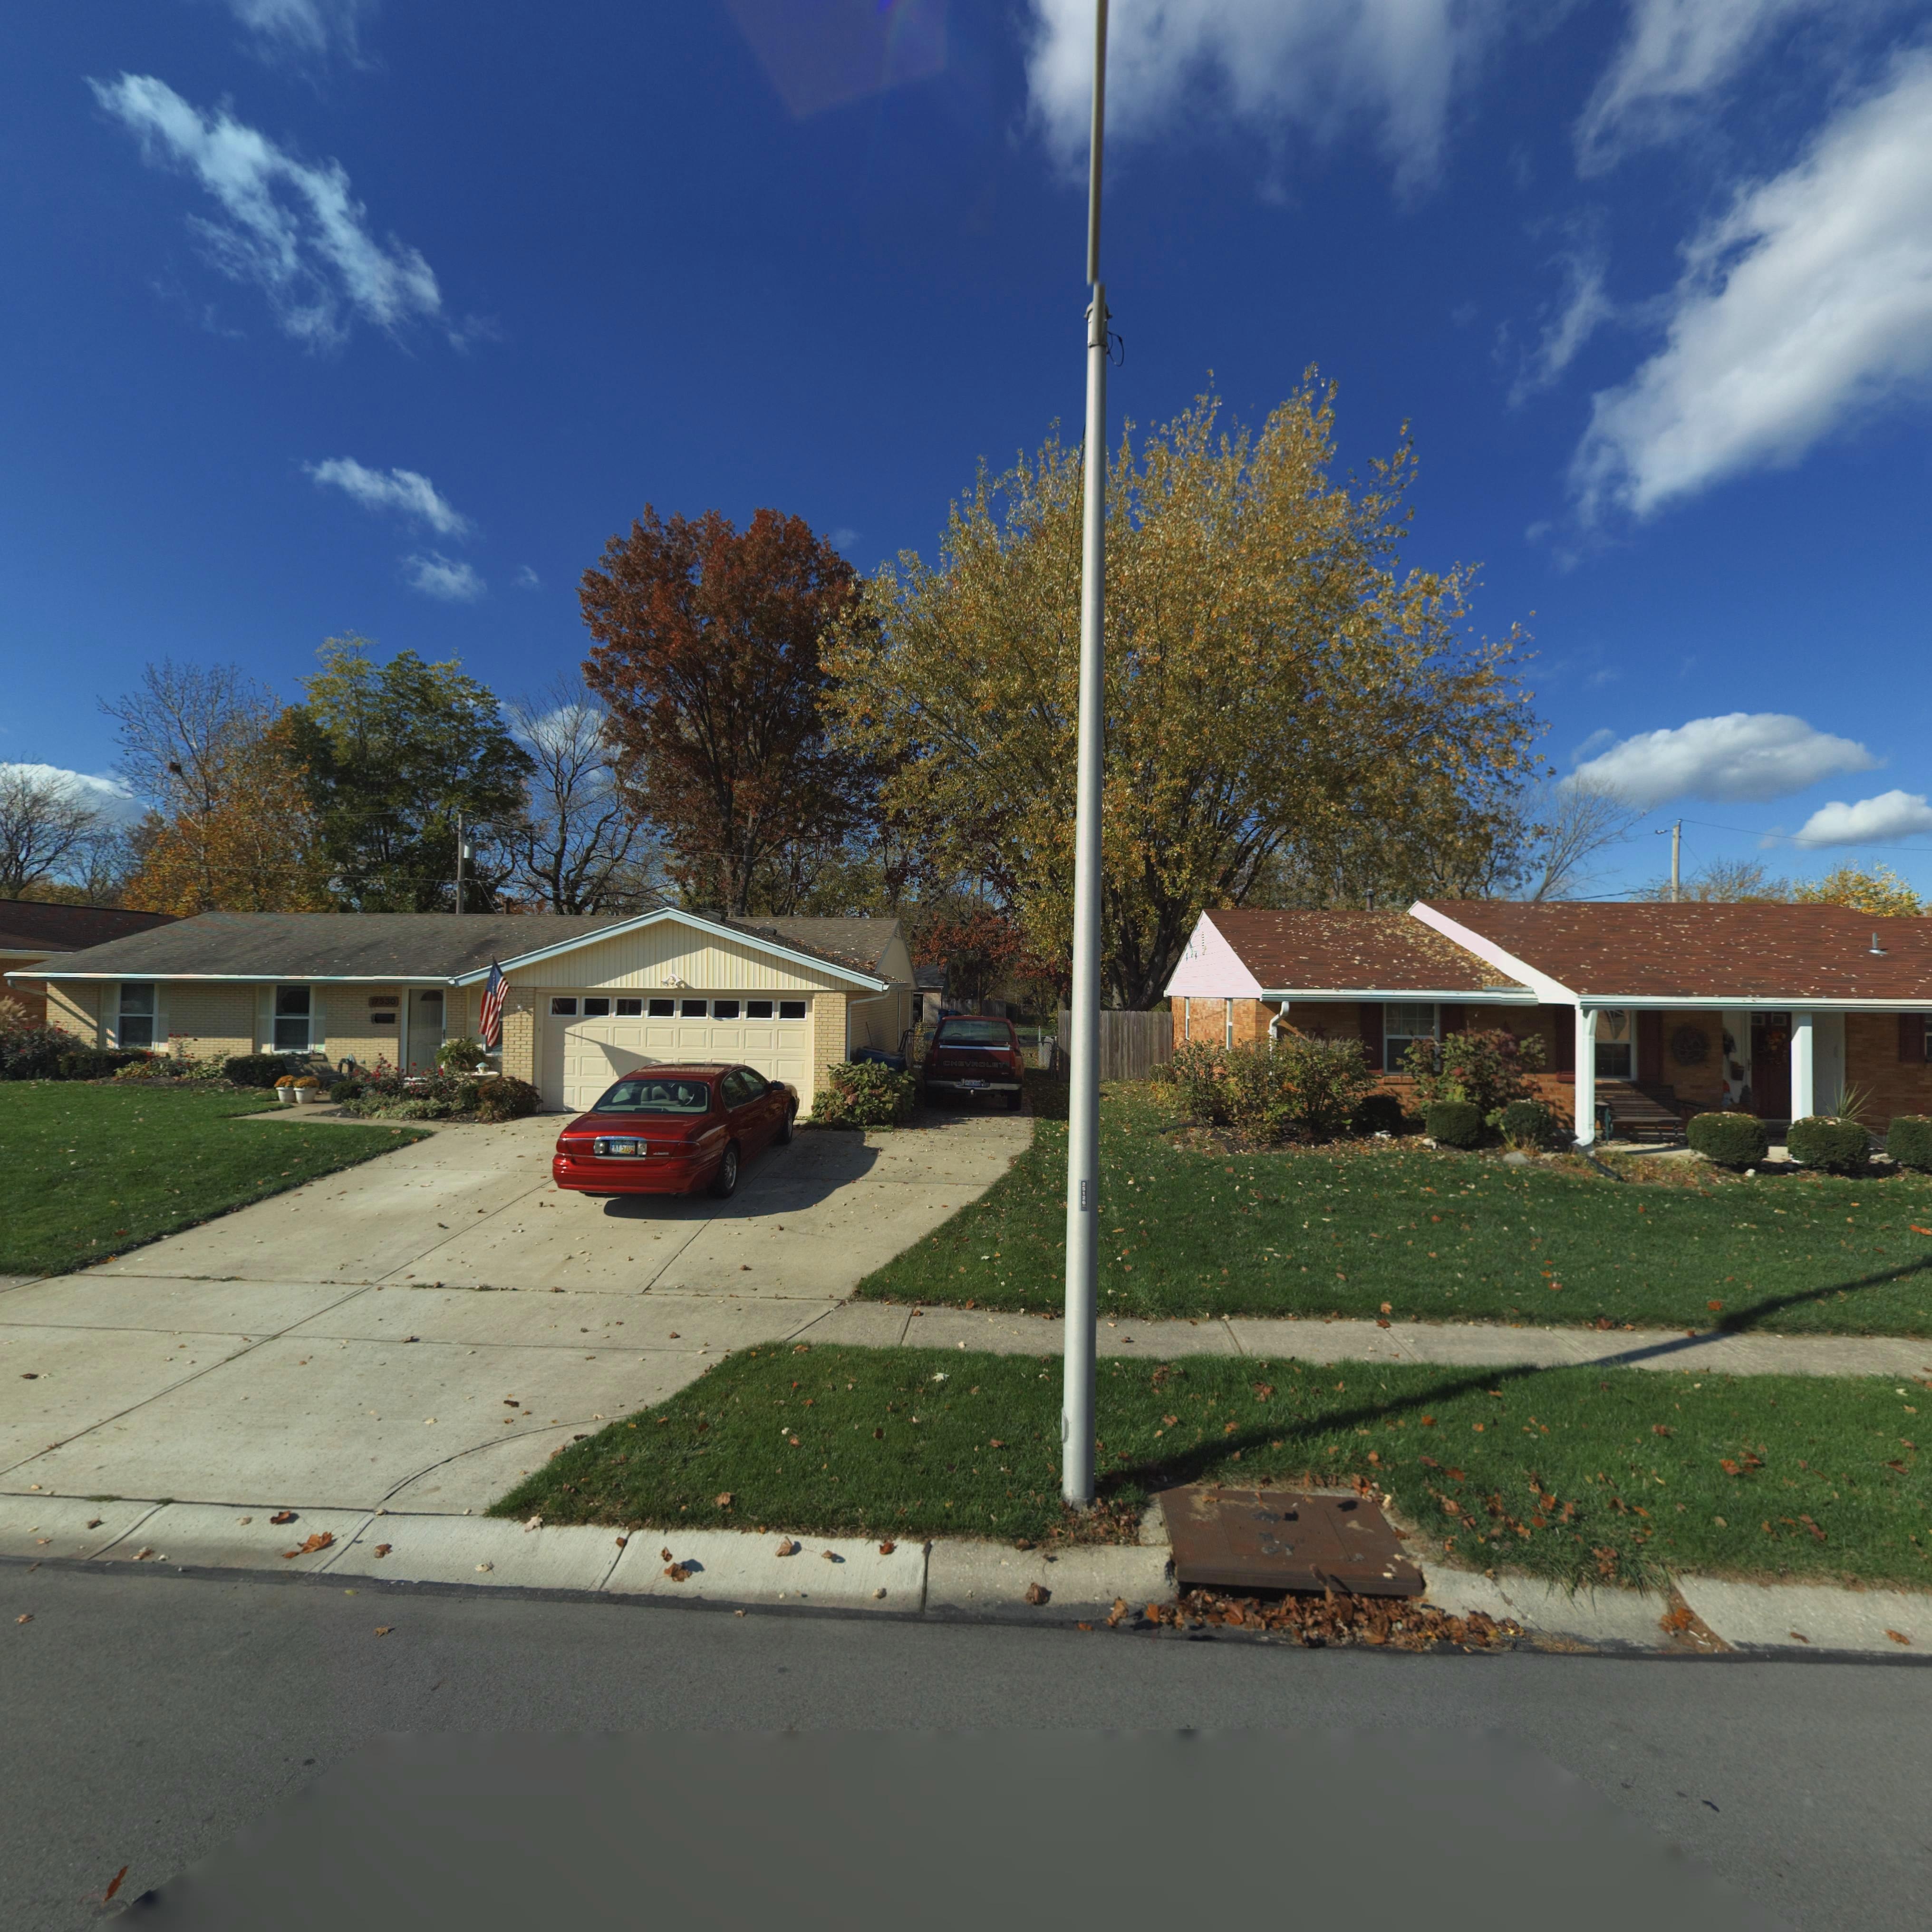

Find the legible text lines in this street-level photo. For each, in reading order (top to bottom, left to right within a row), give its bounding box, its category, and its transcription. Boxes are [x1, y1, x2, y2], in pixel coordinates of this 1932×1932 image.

[373, 996, 397, 1006] StreetNumber: 7530